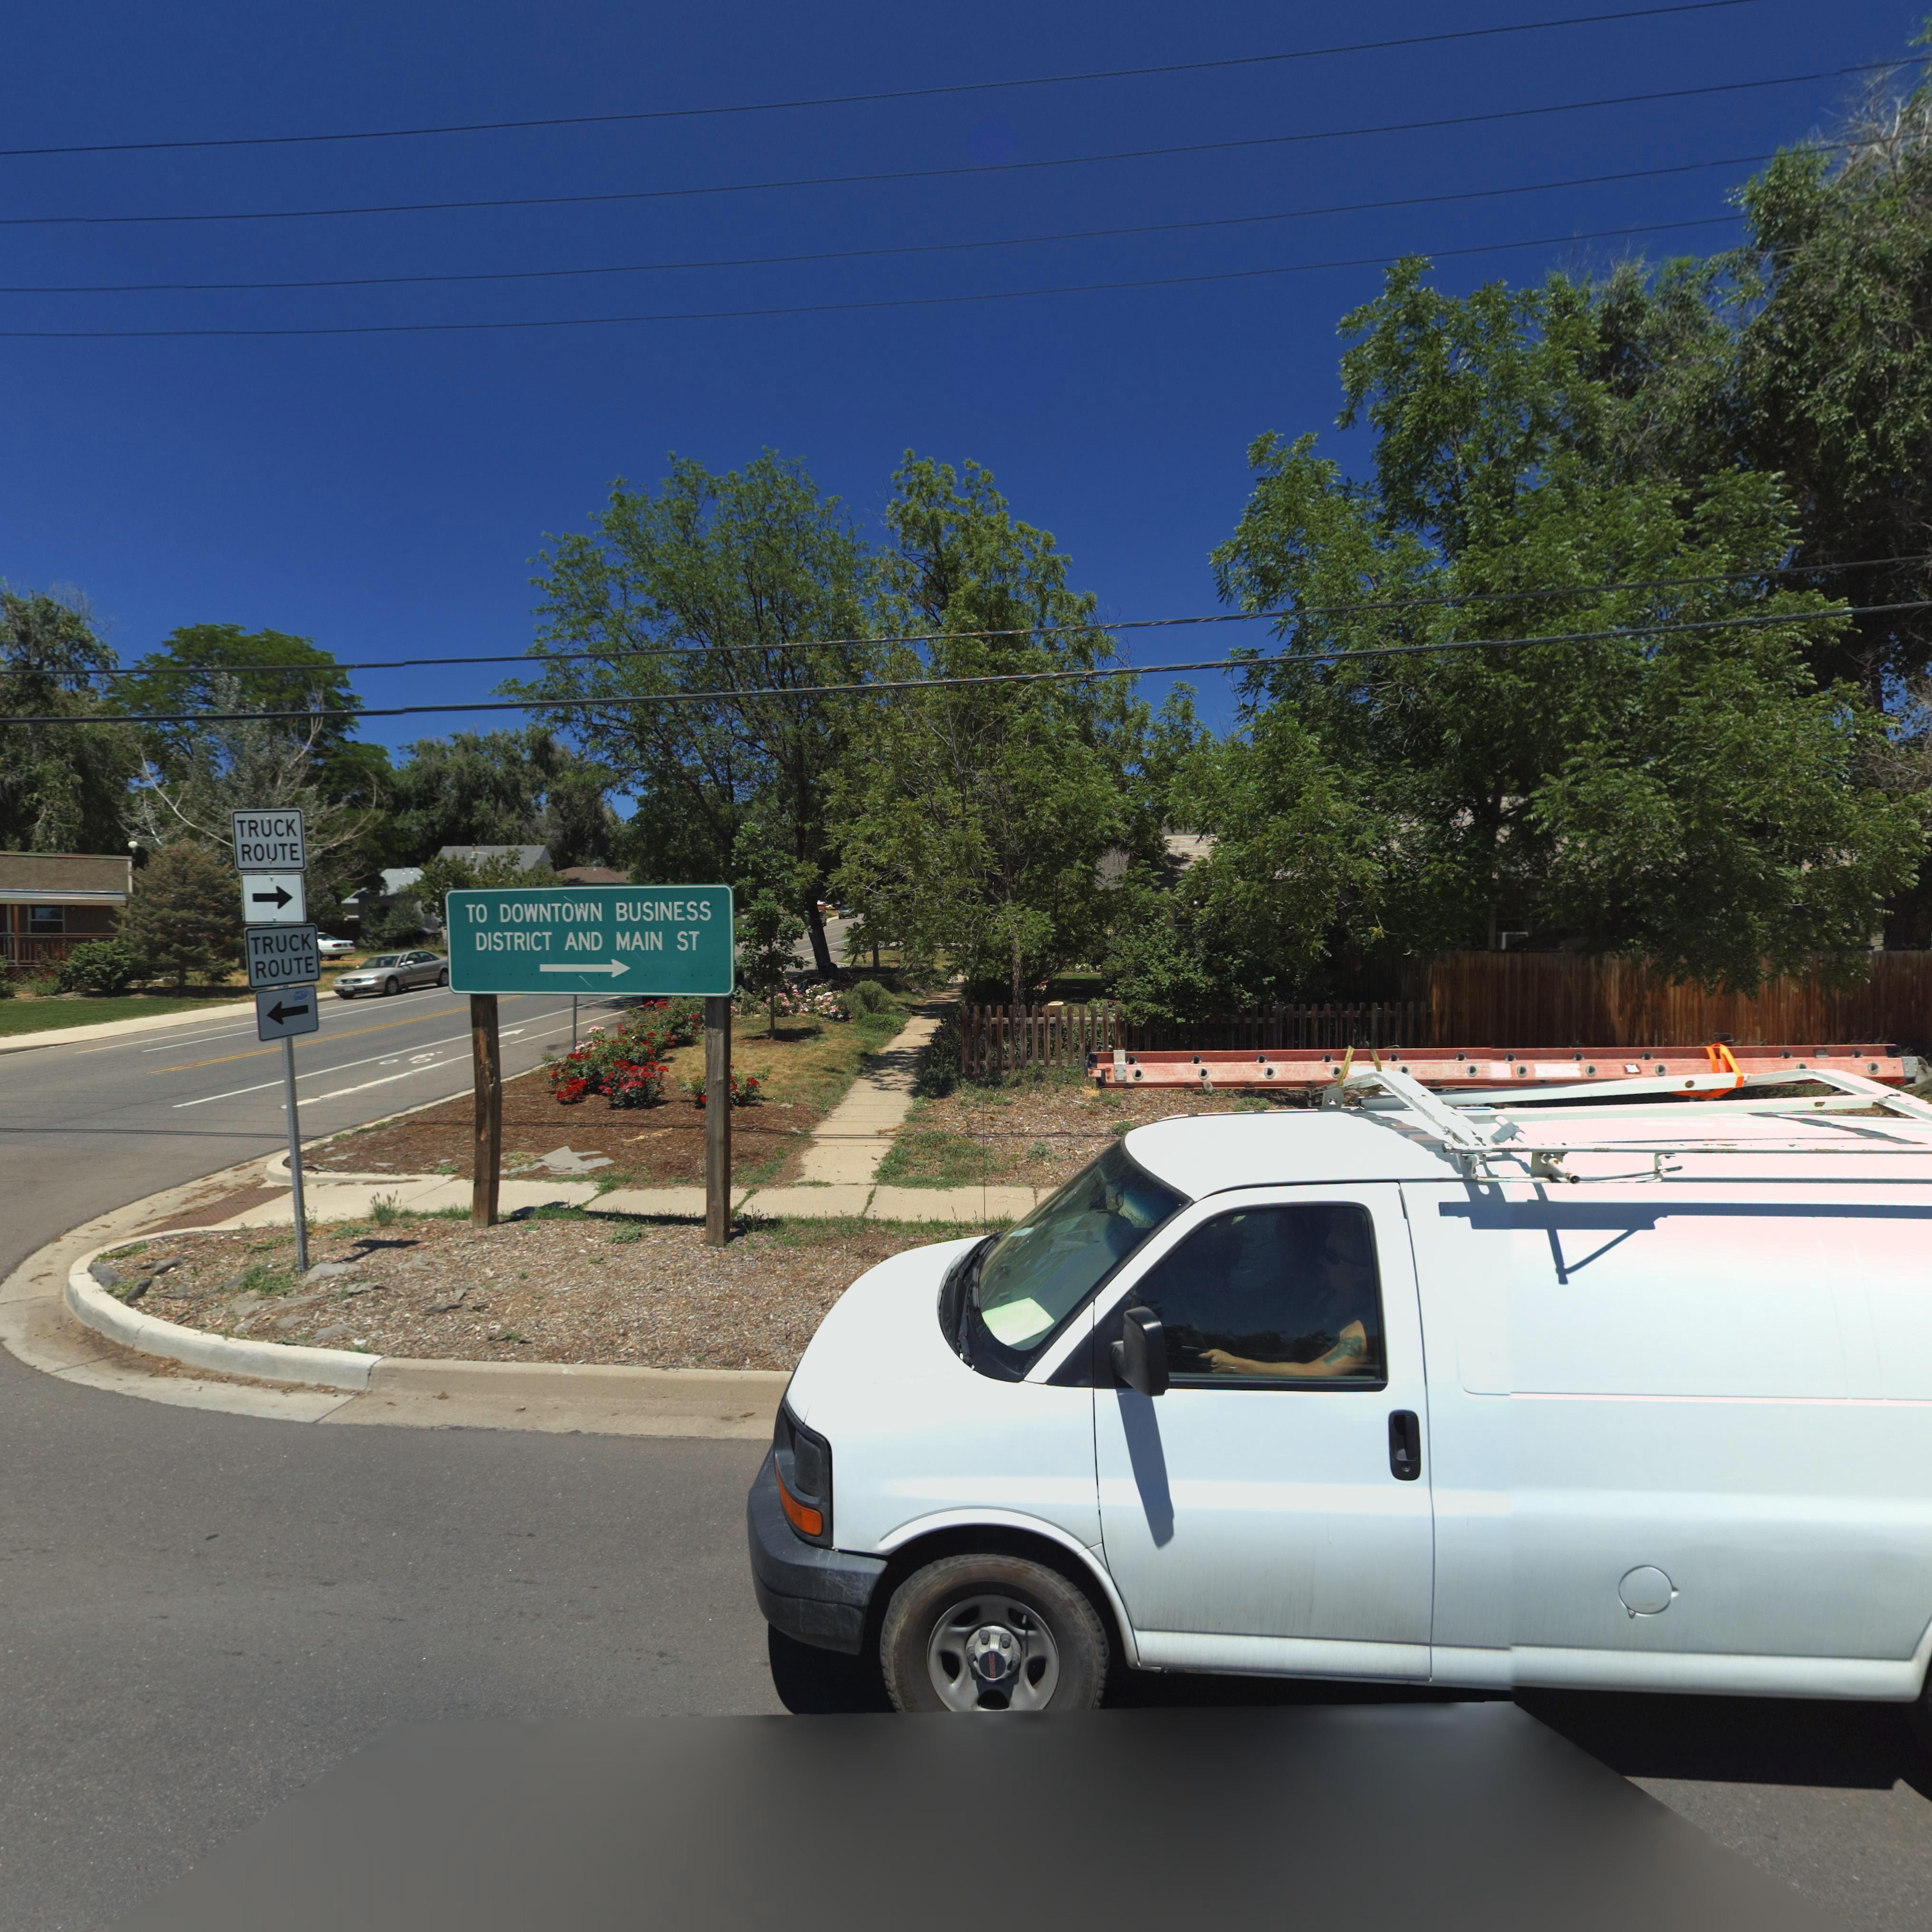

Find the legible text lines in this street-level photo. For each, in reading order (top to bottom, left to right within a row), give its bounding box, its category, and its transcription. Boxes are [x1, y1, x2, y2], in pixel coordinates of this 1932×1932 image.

[615, 930, 701, 951] StreetName: MAIN ST